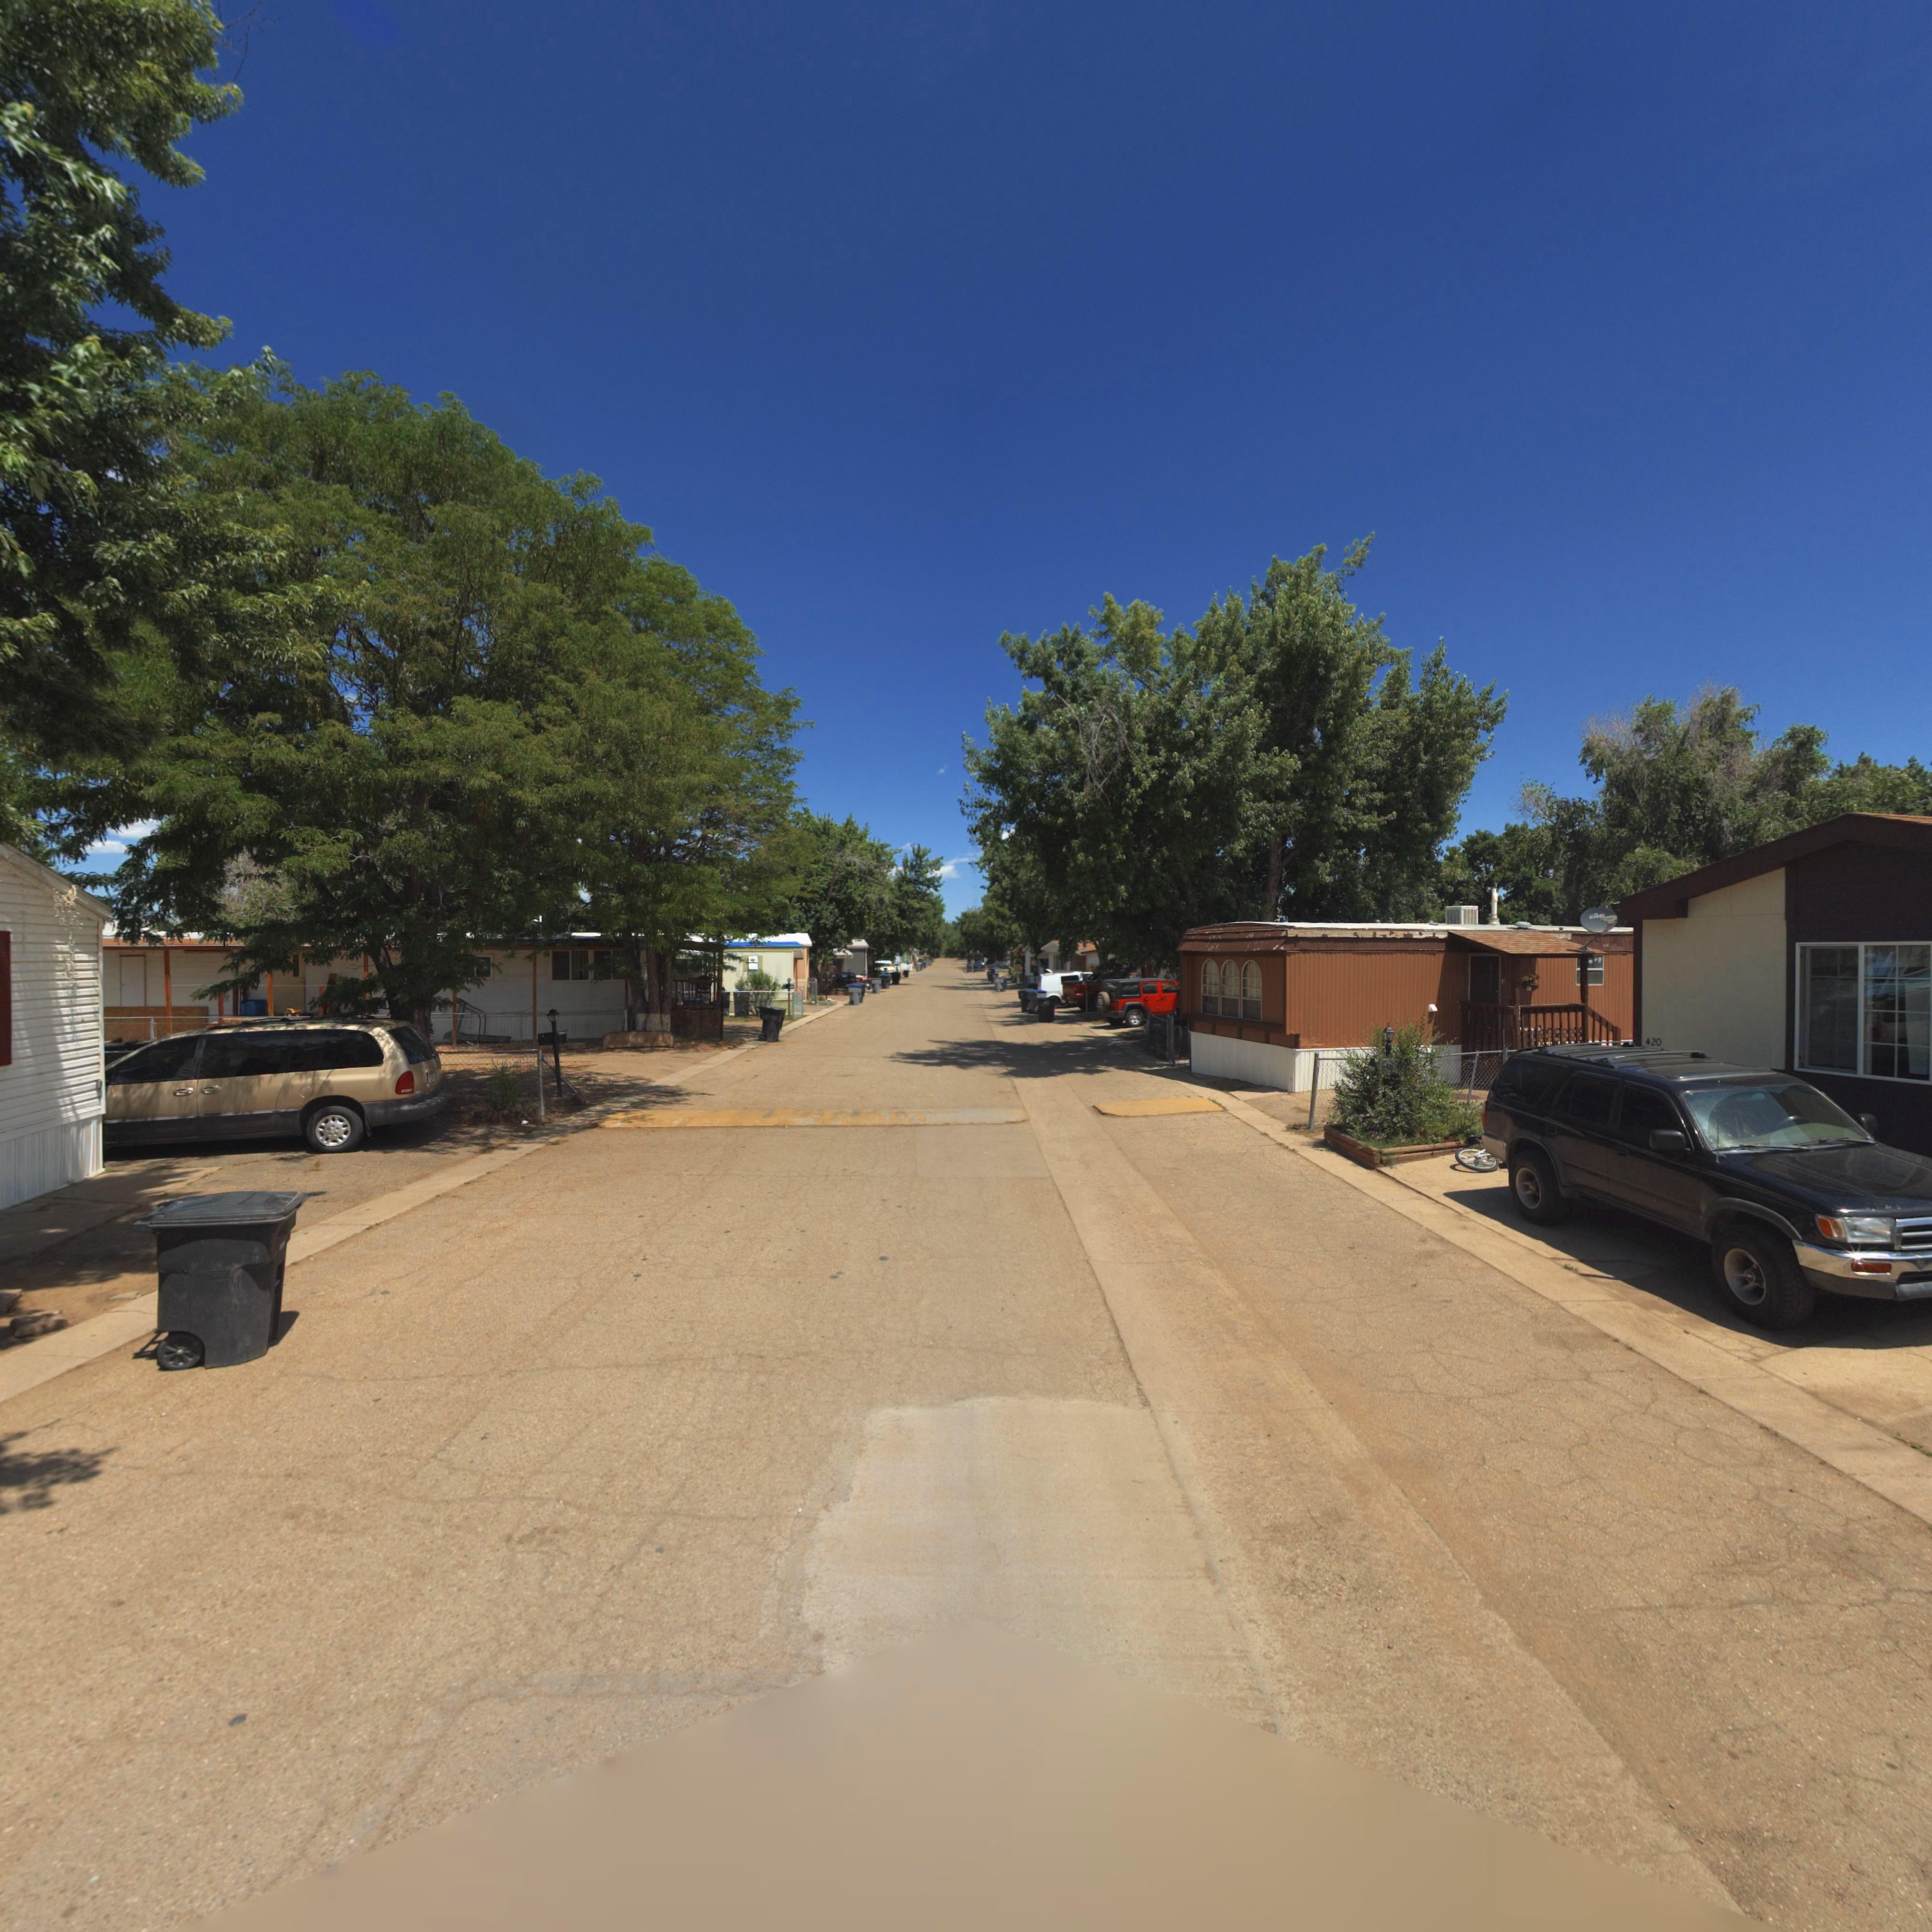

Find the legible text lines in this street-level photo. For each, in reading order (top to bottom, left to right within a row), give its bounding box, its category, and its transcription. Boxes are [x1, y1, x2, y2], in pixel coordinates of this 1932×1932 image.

[1645, 1037, 1662, 1046] StreetNumber: 420